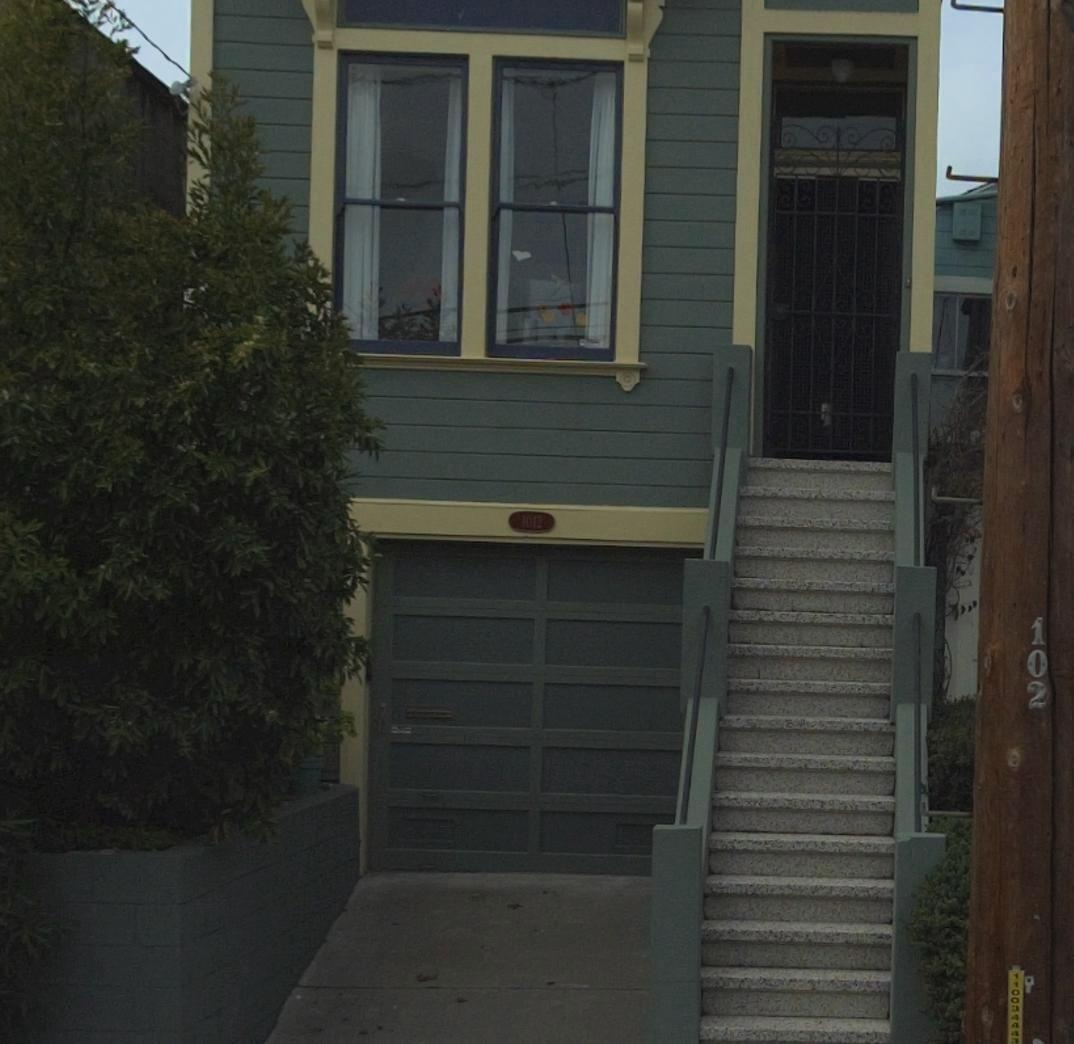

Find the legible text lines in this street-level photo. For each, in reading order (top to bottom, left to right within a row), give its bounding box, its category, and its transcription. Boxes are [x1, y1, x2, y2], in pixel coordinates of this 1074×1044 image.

[516, 513, 545, 530] StreetNumber: 1012
[1022, 610, 1051, 711] None: 102
[1007, 968, 1024, 1044] None: 110034443